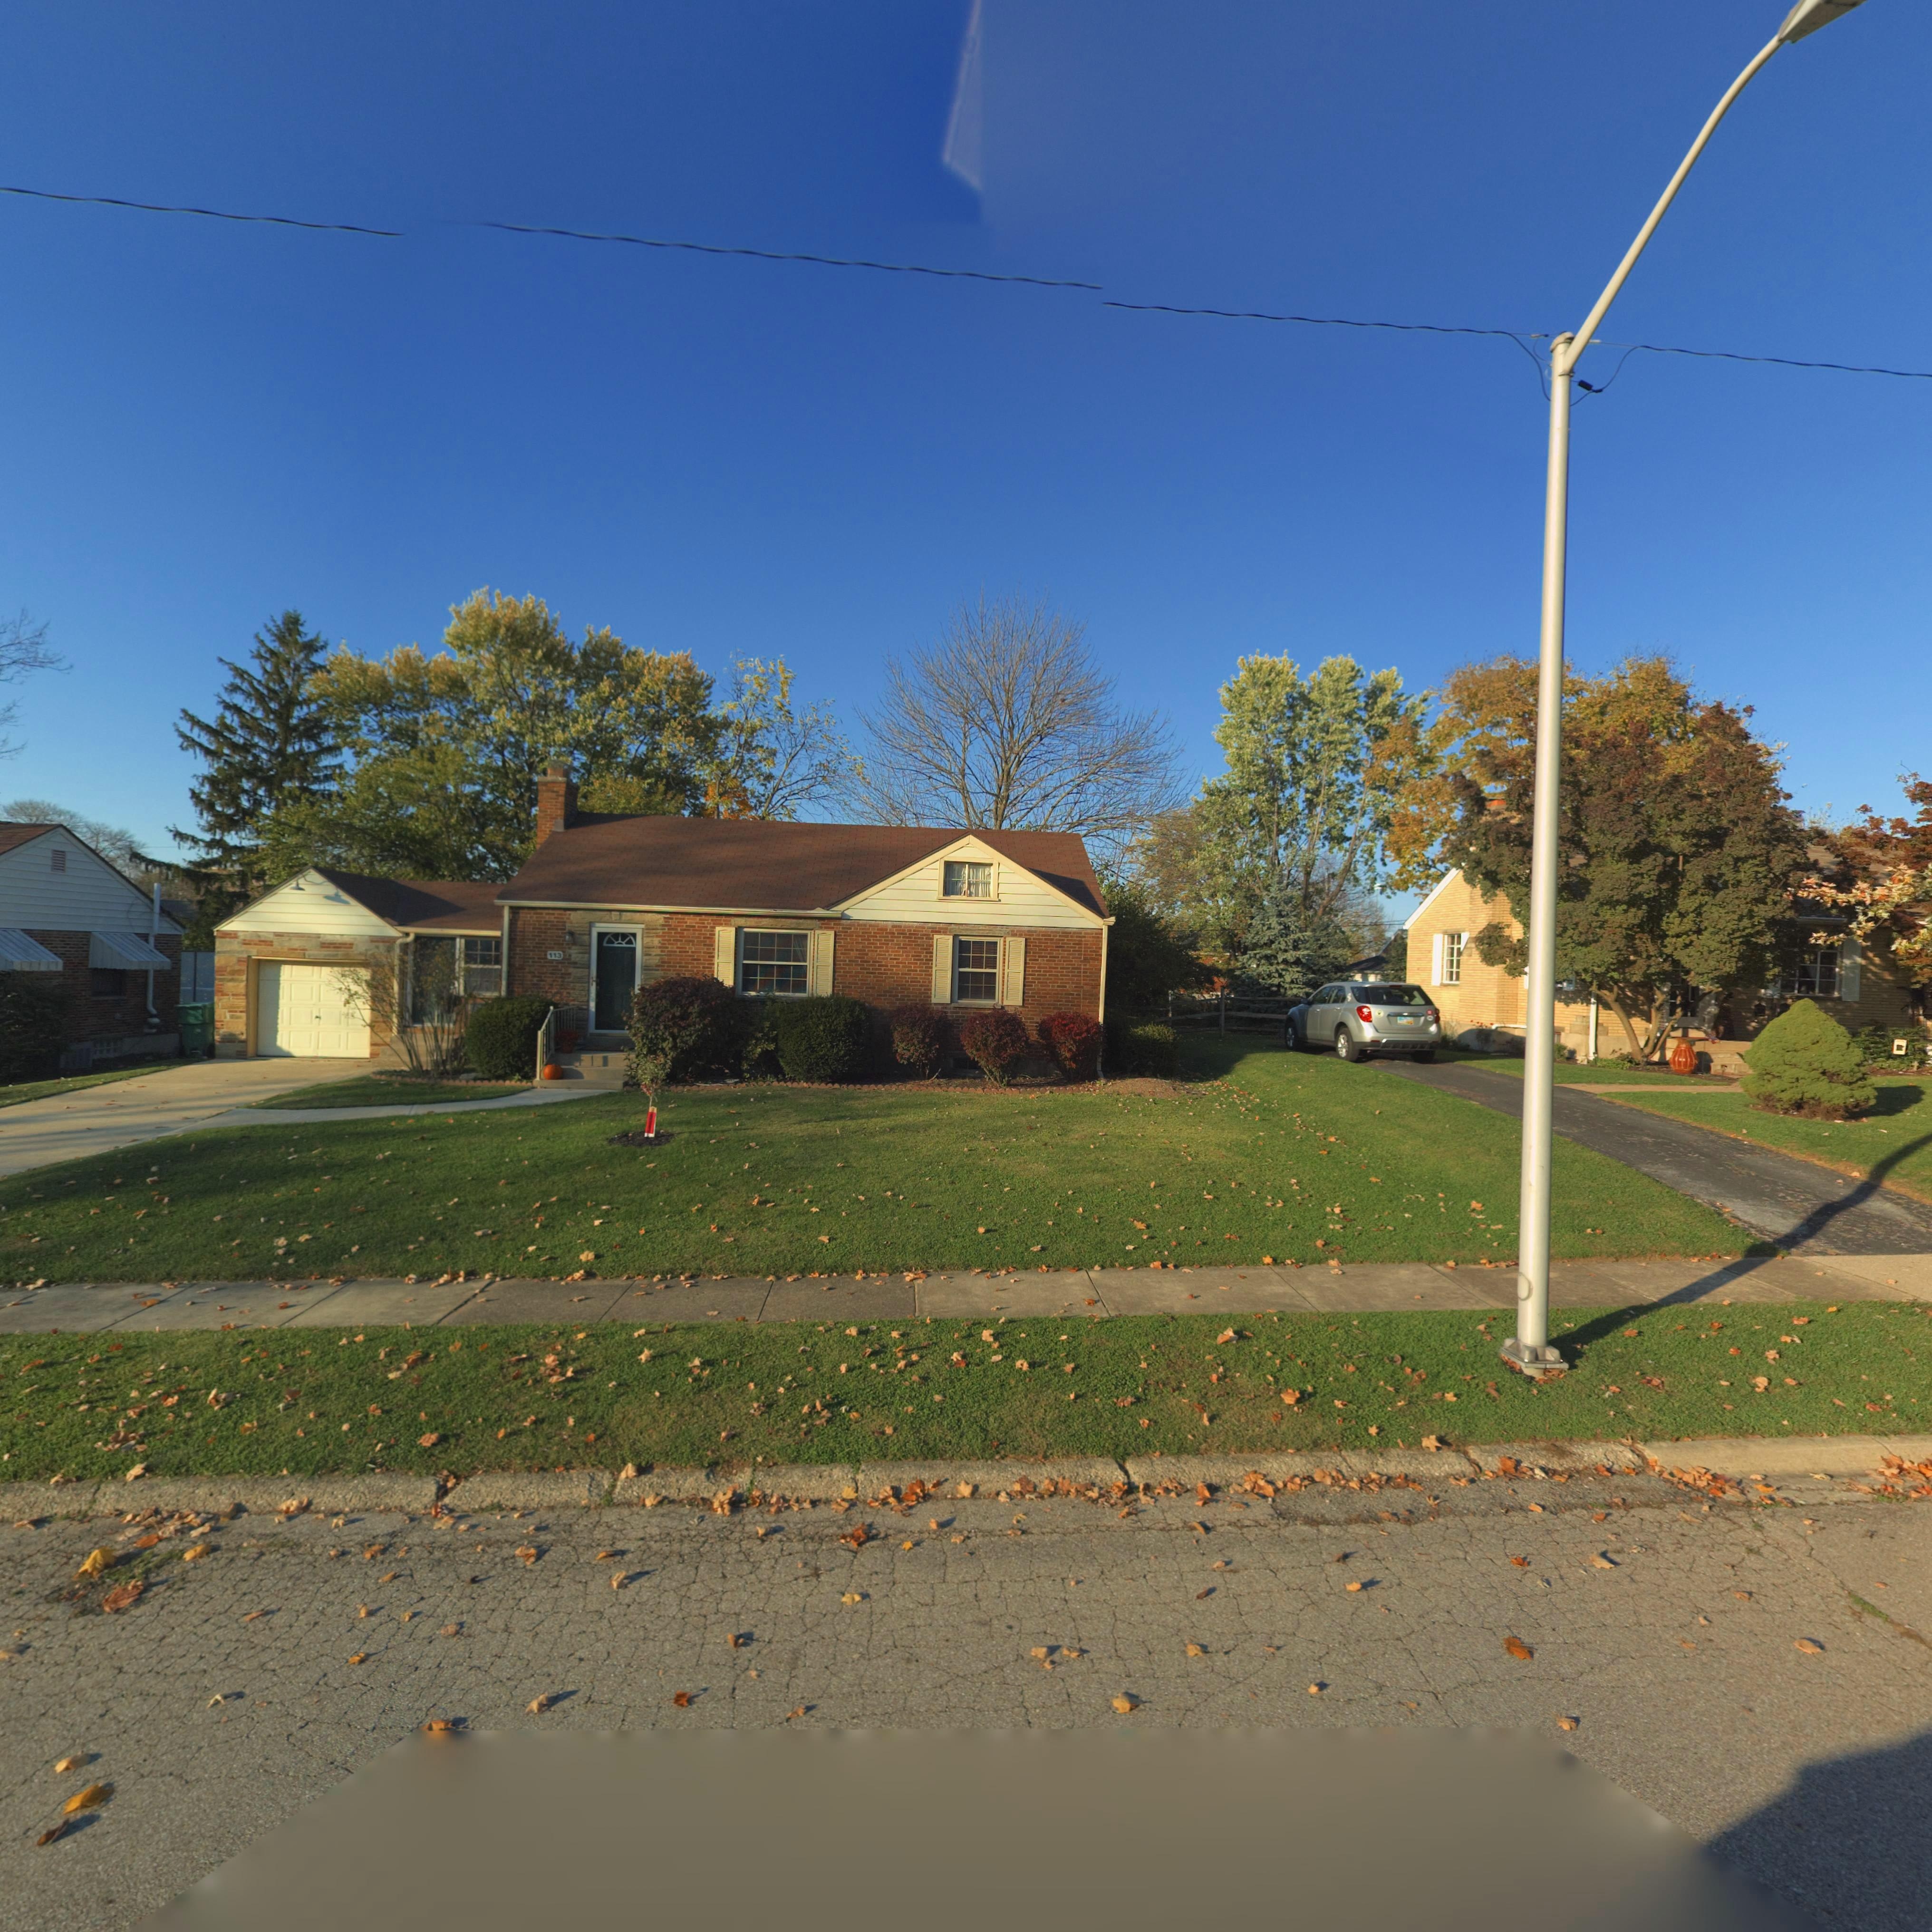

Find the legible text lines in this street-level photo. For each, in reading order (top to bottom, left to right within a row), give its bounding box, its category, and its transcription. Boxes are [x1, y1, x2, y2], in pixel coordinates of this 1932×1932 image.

[548, 952, 562, 959] StreetNumber: 113